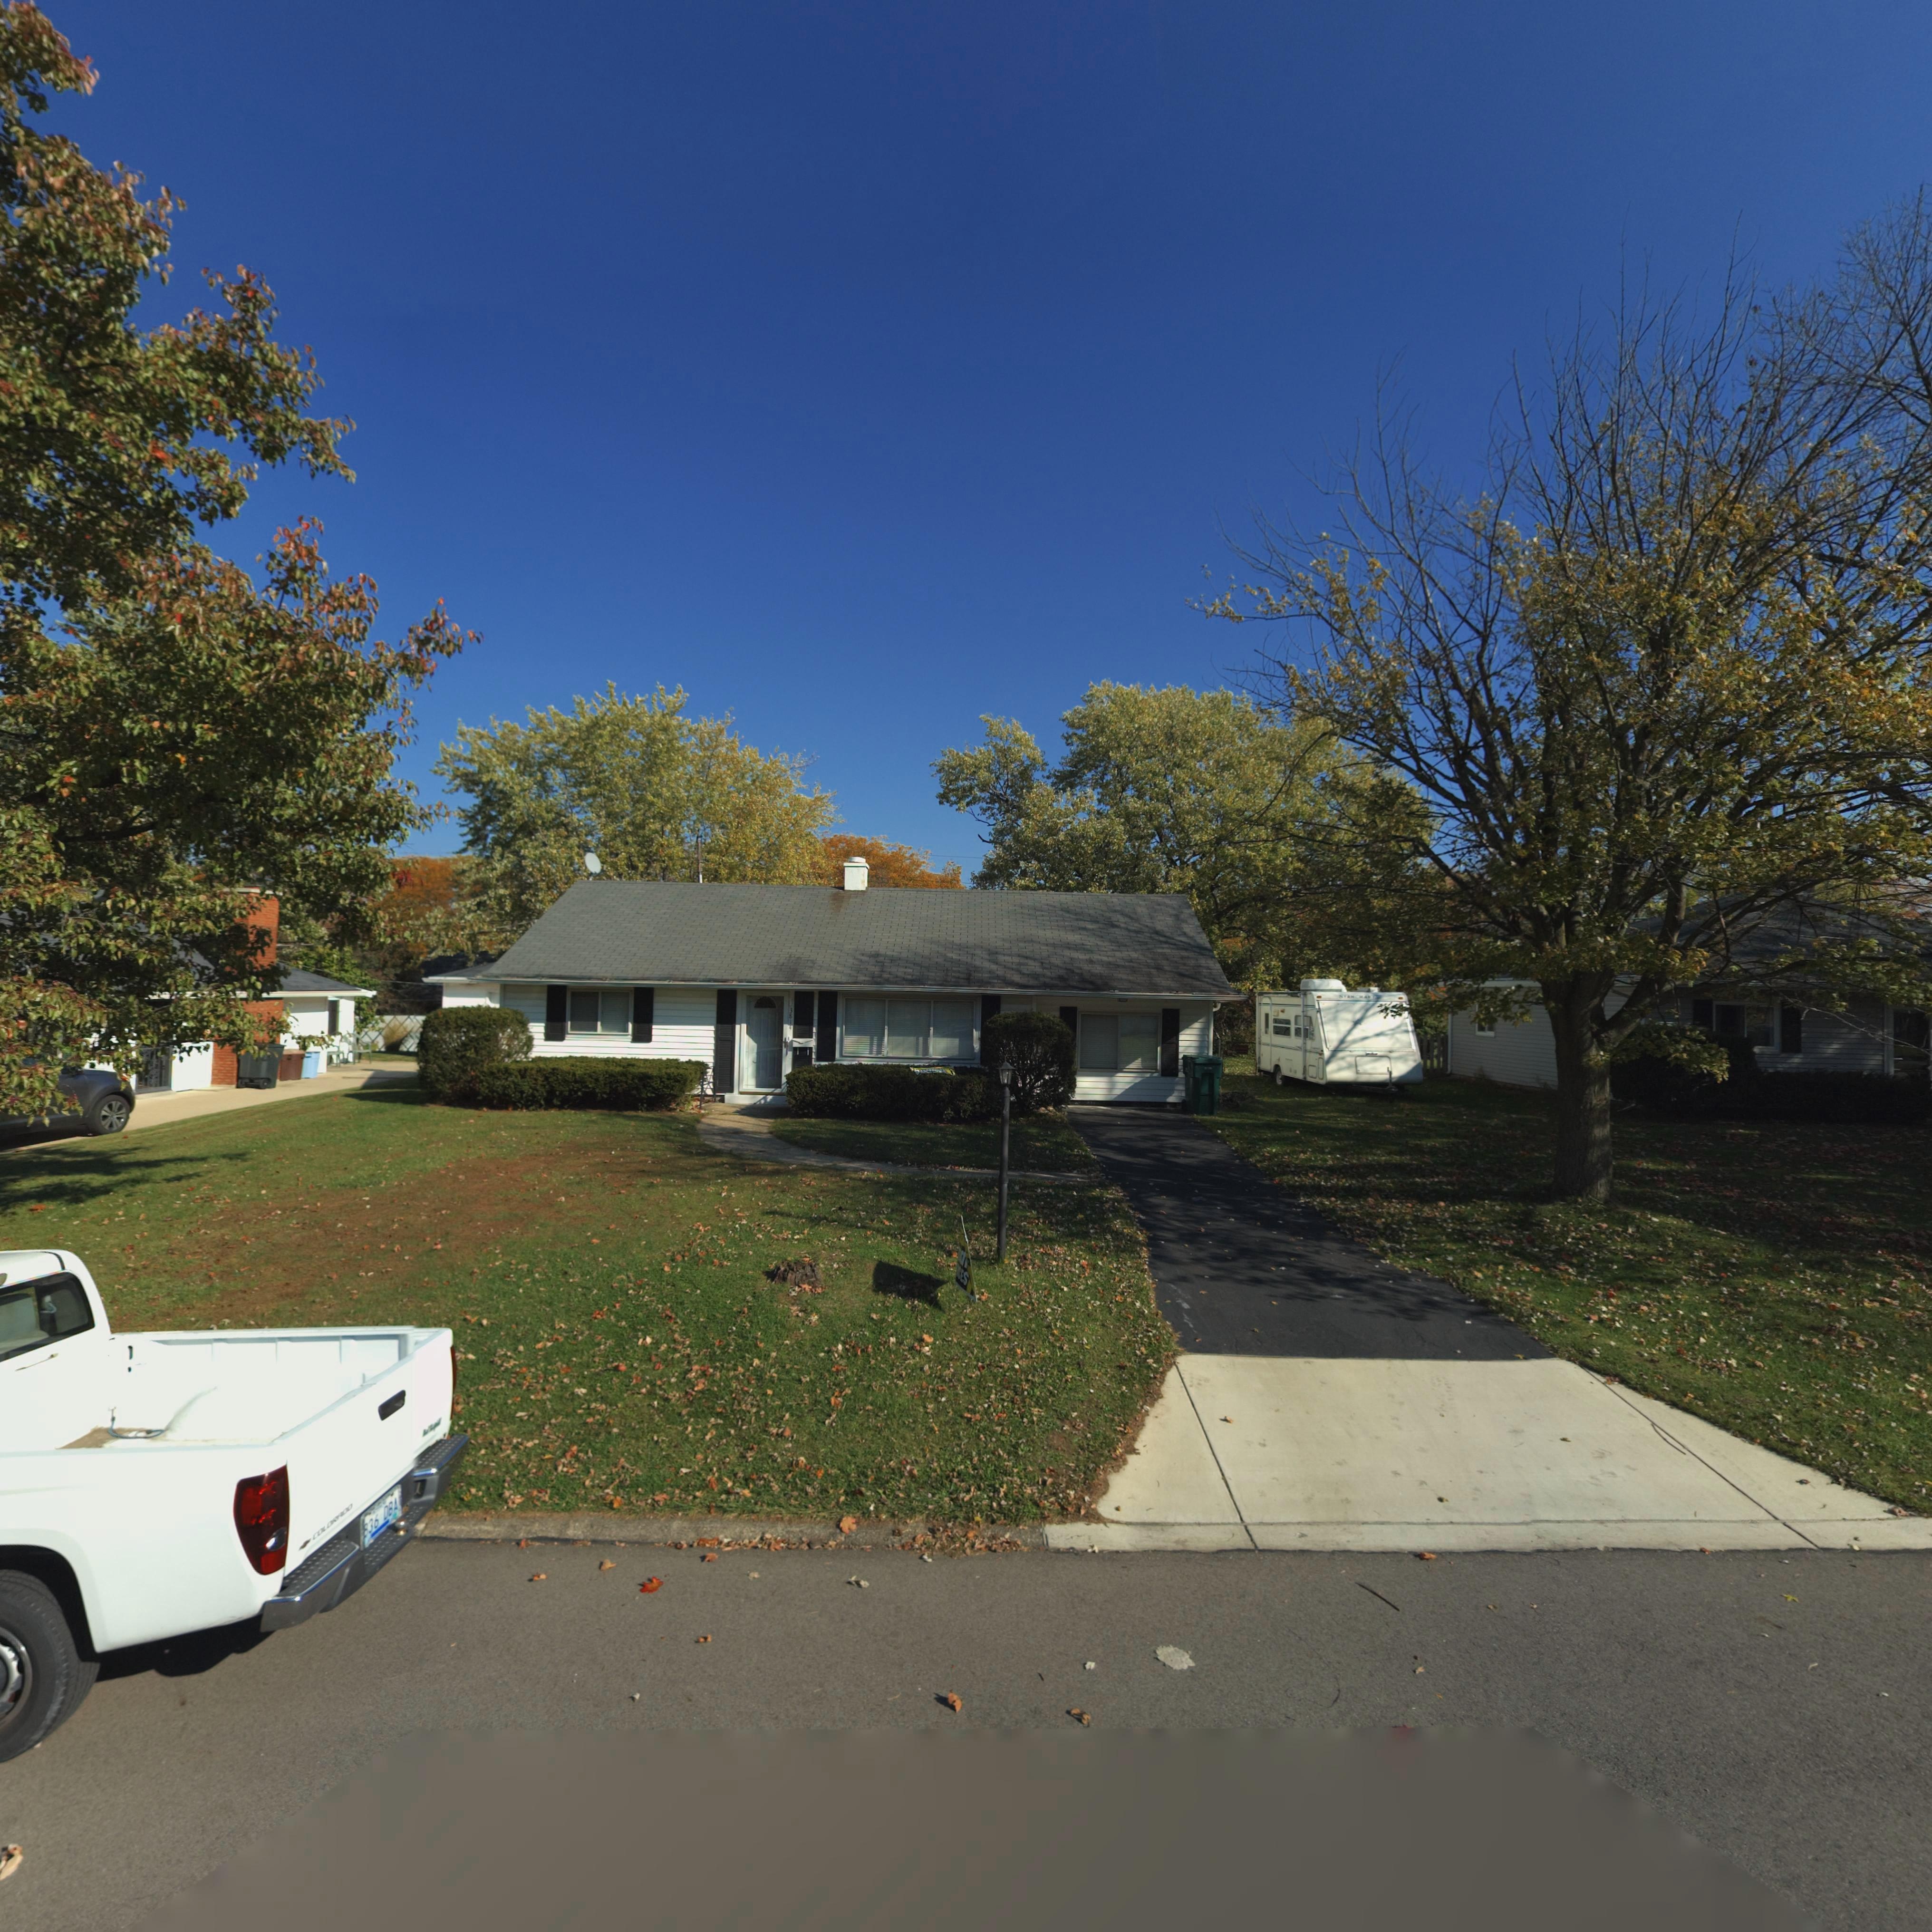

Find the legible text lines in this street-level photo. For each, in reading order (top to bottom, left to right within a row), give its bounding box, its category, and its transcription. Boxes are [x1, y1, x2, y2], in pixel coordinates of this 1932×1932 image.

[788, 1006, 794, 1031] StreetNumber: 3814
[362, 1492, 400, 1540] None: 836 DBA